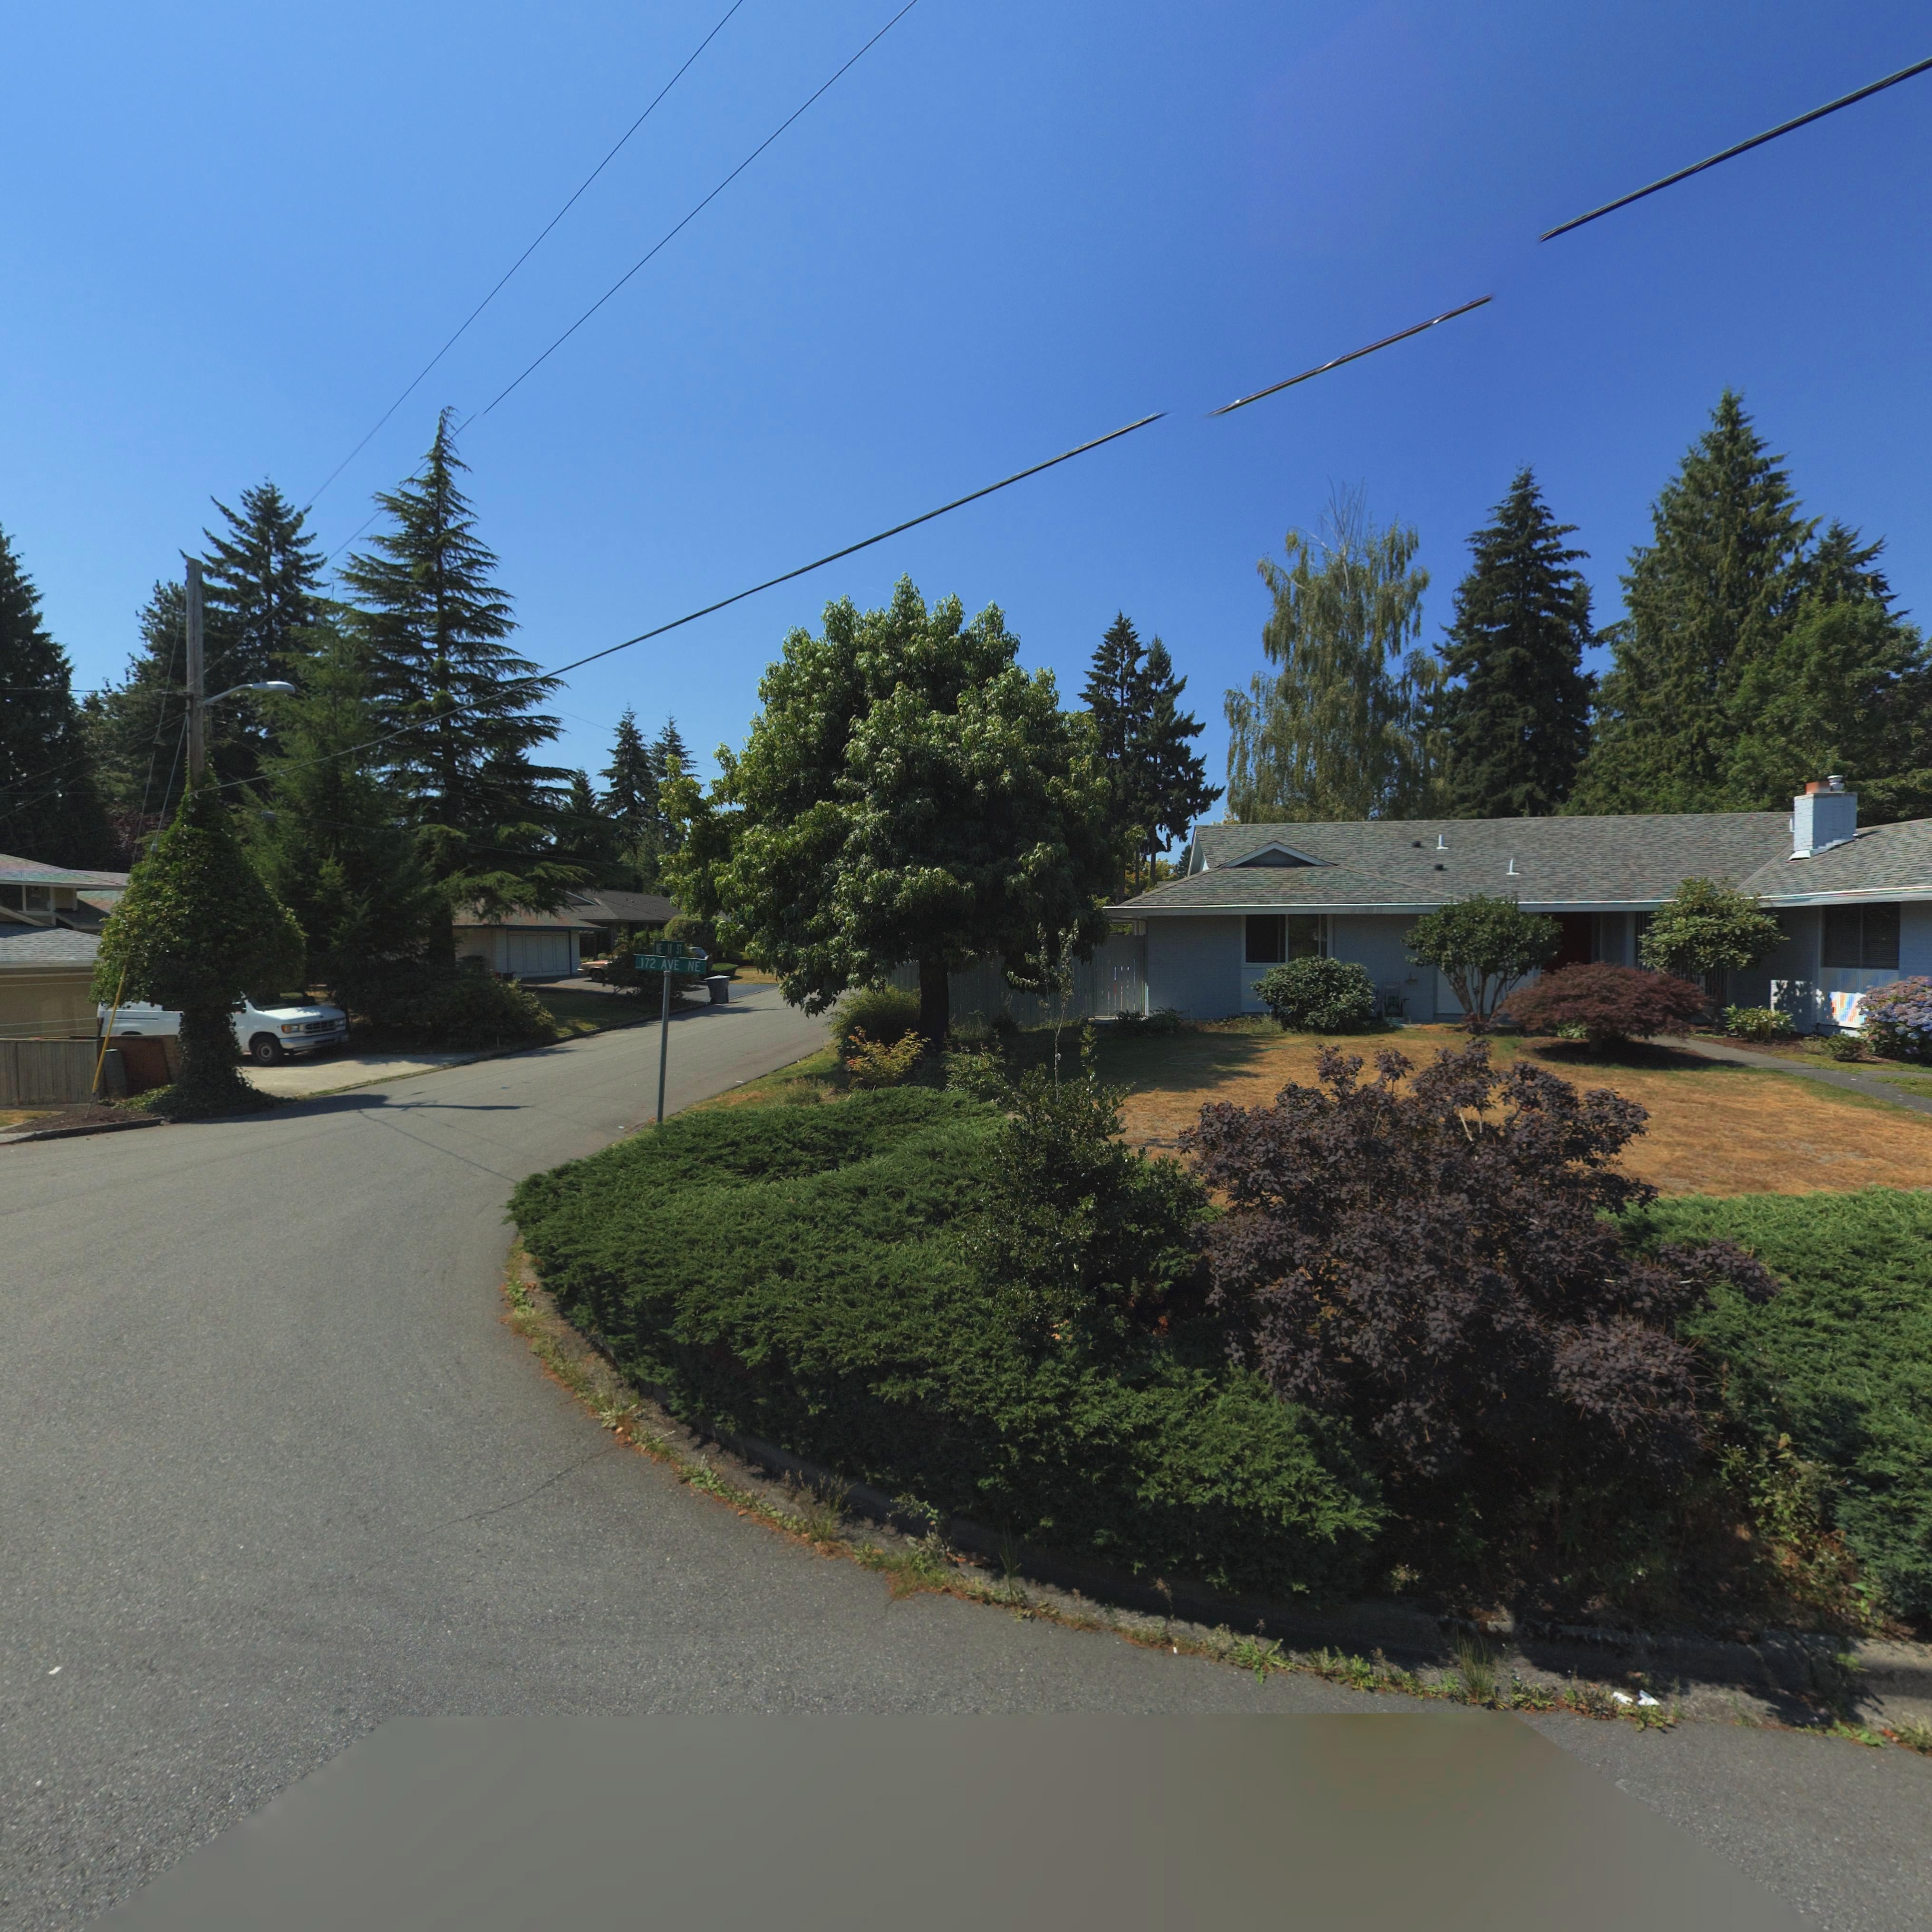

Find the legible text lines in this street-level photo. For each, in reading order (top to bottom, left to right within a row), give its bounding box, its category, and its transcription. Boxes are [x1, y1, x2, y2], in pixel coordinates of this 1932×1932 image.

[656, 942, 683, 955] StreetName: *E 18 ST
[639, 957, 700, 972] StreetName: 172 AVE NE